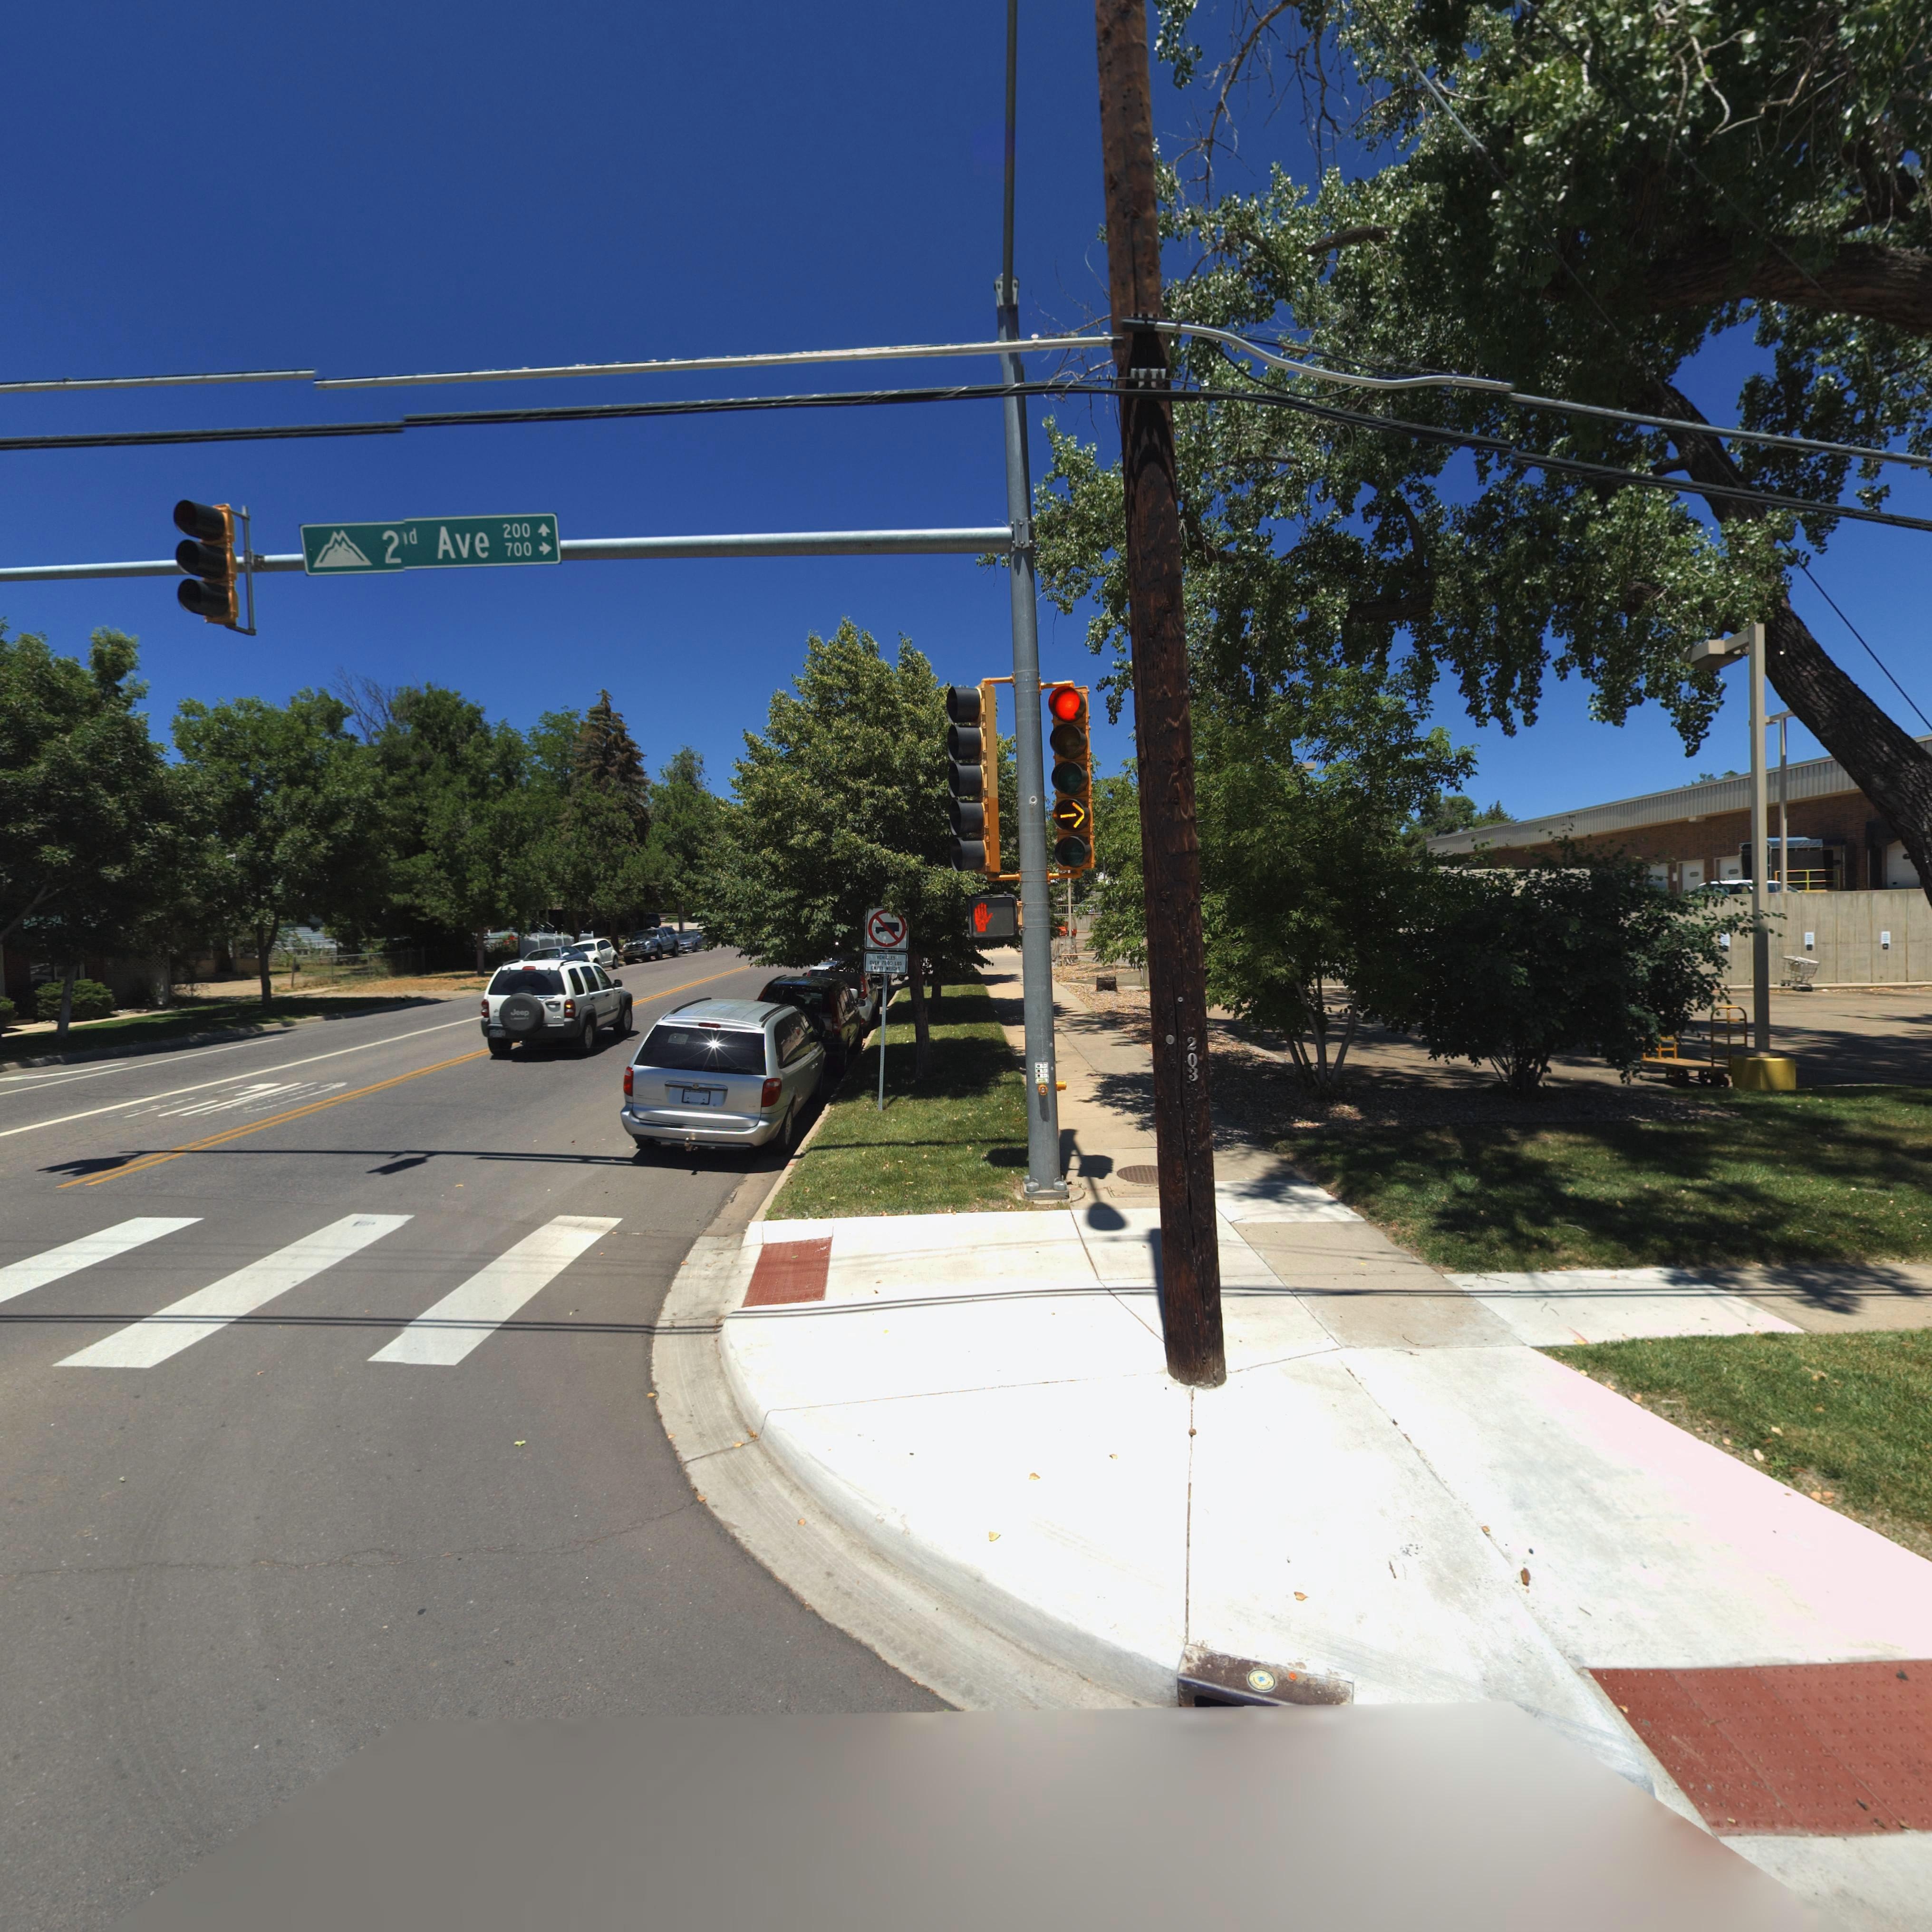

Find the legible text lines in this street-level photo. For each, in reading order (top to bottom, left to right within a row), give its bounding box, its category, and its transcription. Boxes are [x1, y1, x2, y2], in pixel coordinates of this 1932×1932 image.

[502, 522, 531, 539] StreetNumberRange: 200
[381, 524, 491, 564] StreetName: 2*d Ave
[504, 541, 553, 557] StreetNumberRange: 700->